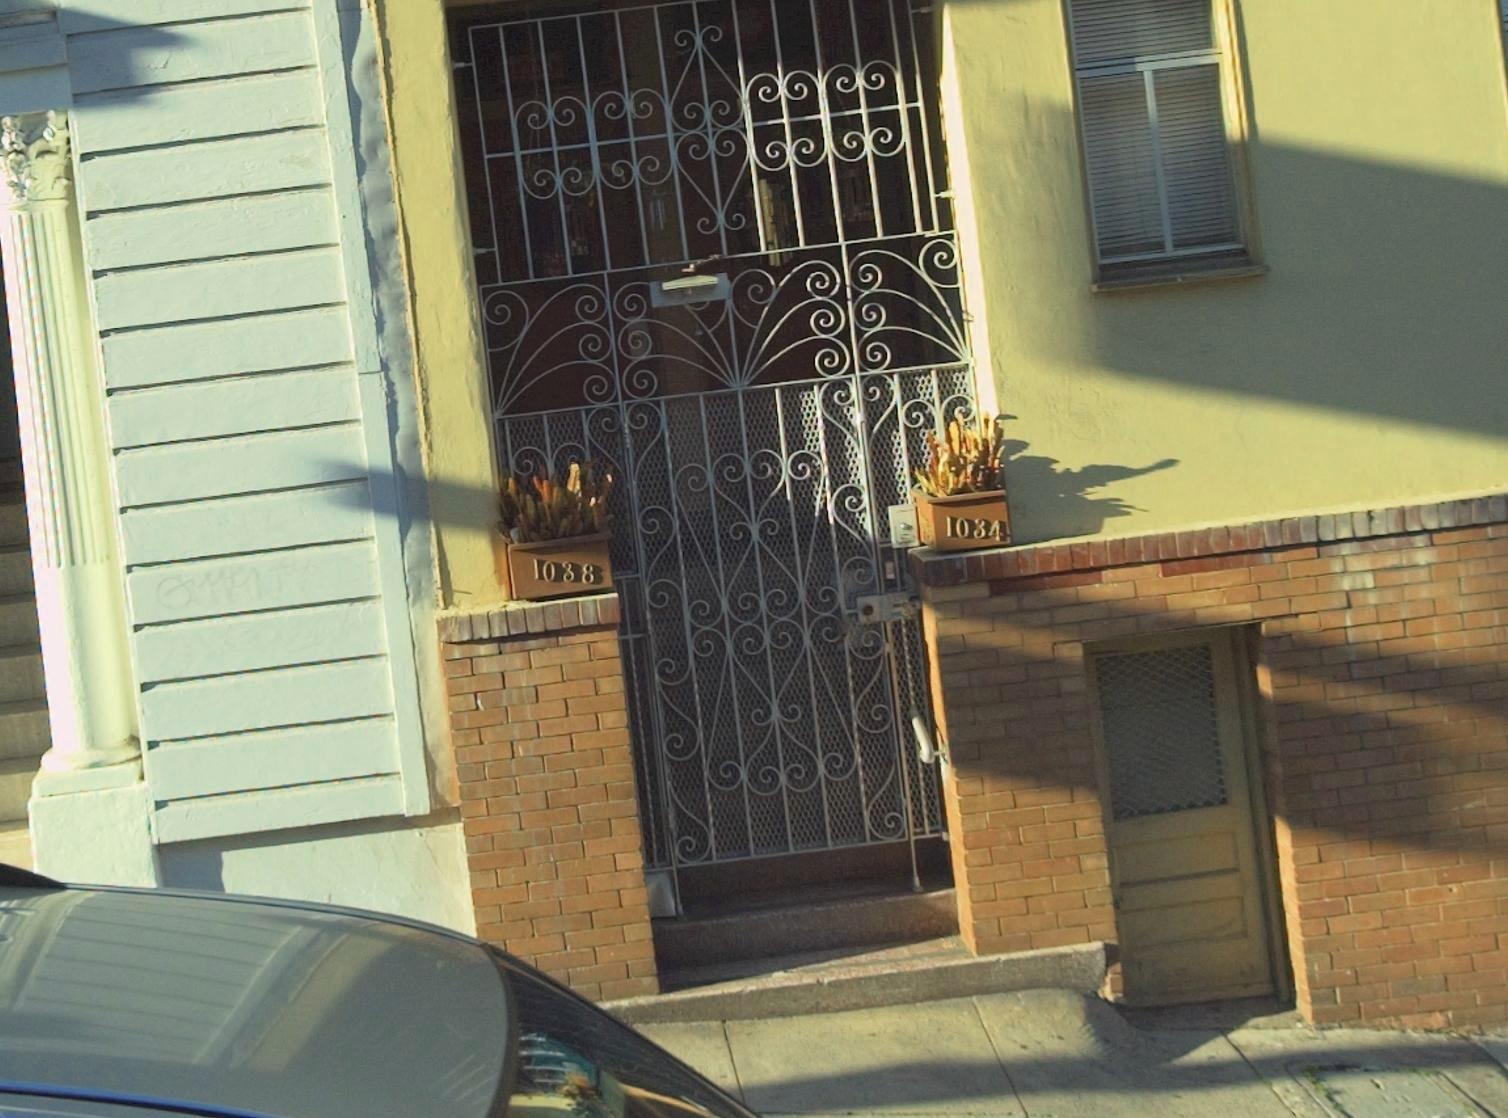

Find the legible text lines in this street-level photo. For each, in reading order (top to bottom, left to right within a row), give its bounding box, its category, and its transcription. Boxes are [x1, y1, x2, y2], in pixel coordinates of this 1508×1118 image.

[944, 513, 1005, 544] StreetNumber: 1034
[528, 555, 597, 587] StreetNumber: 1038